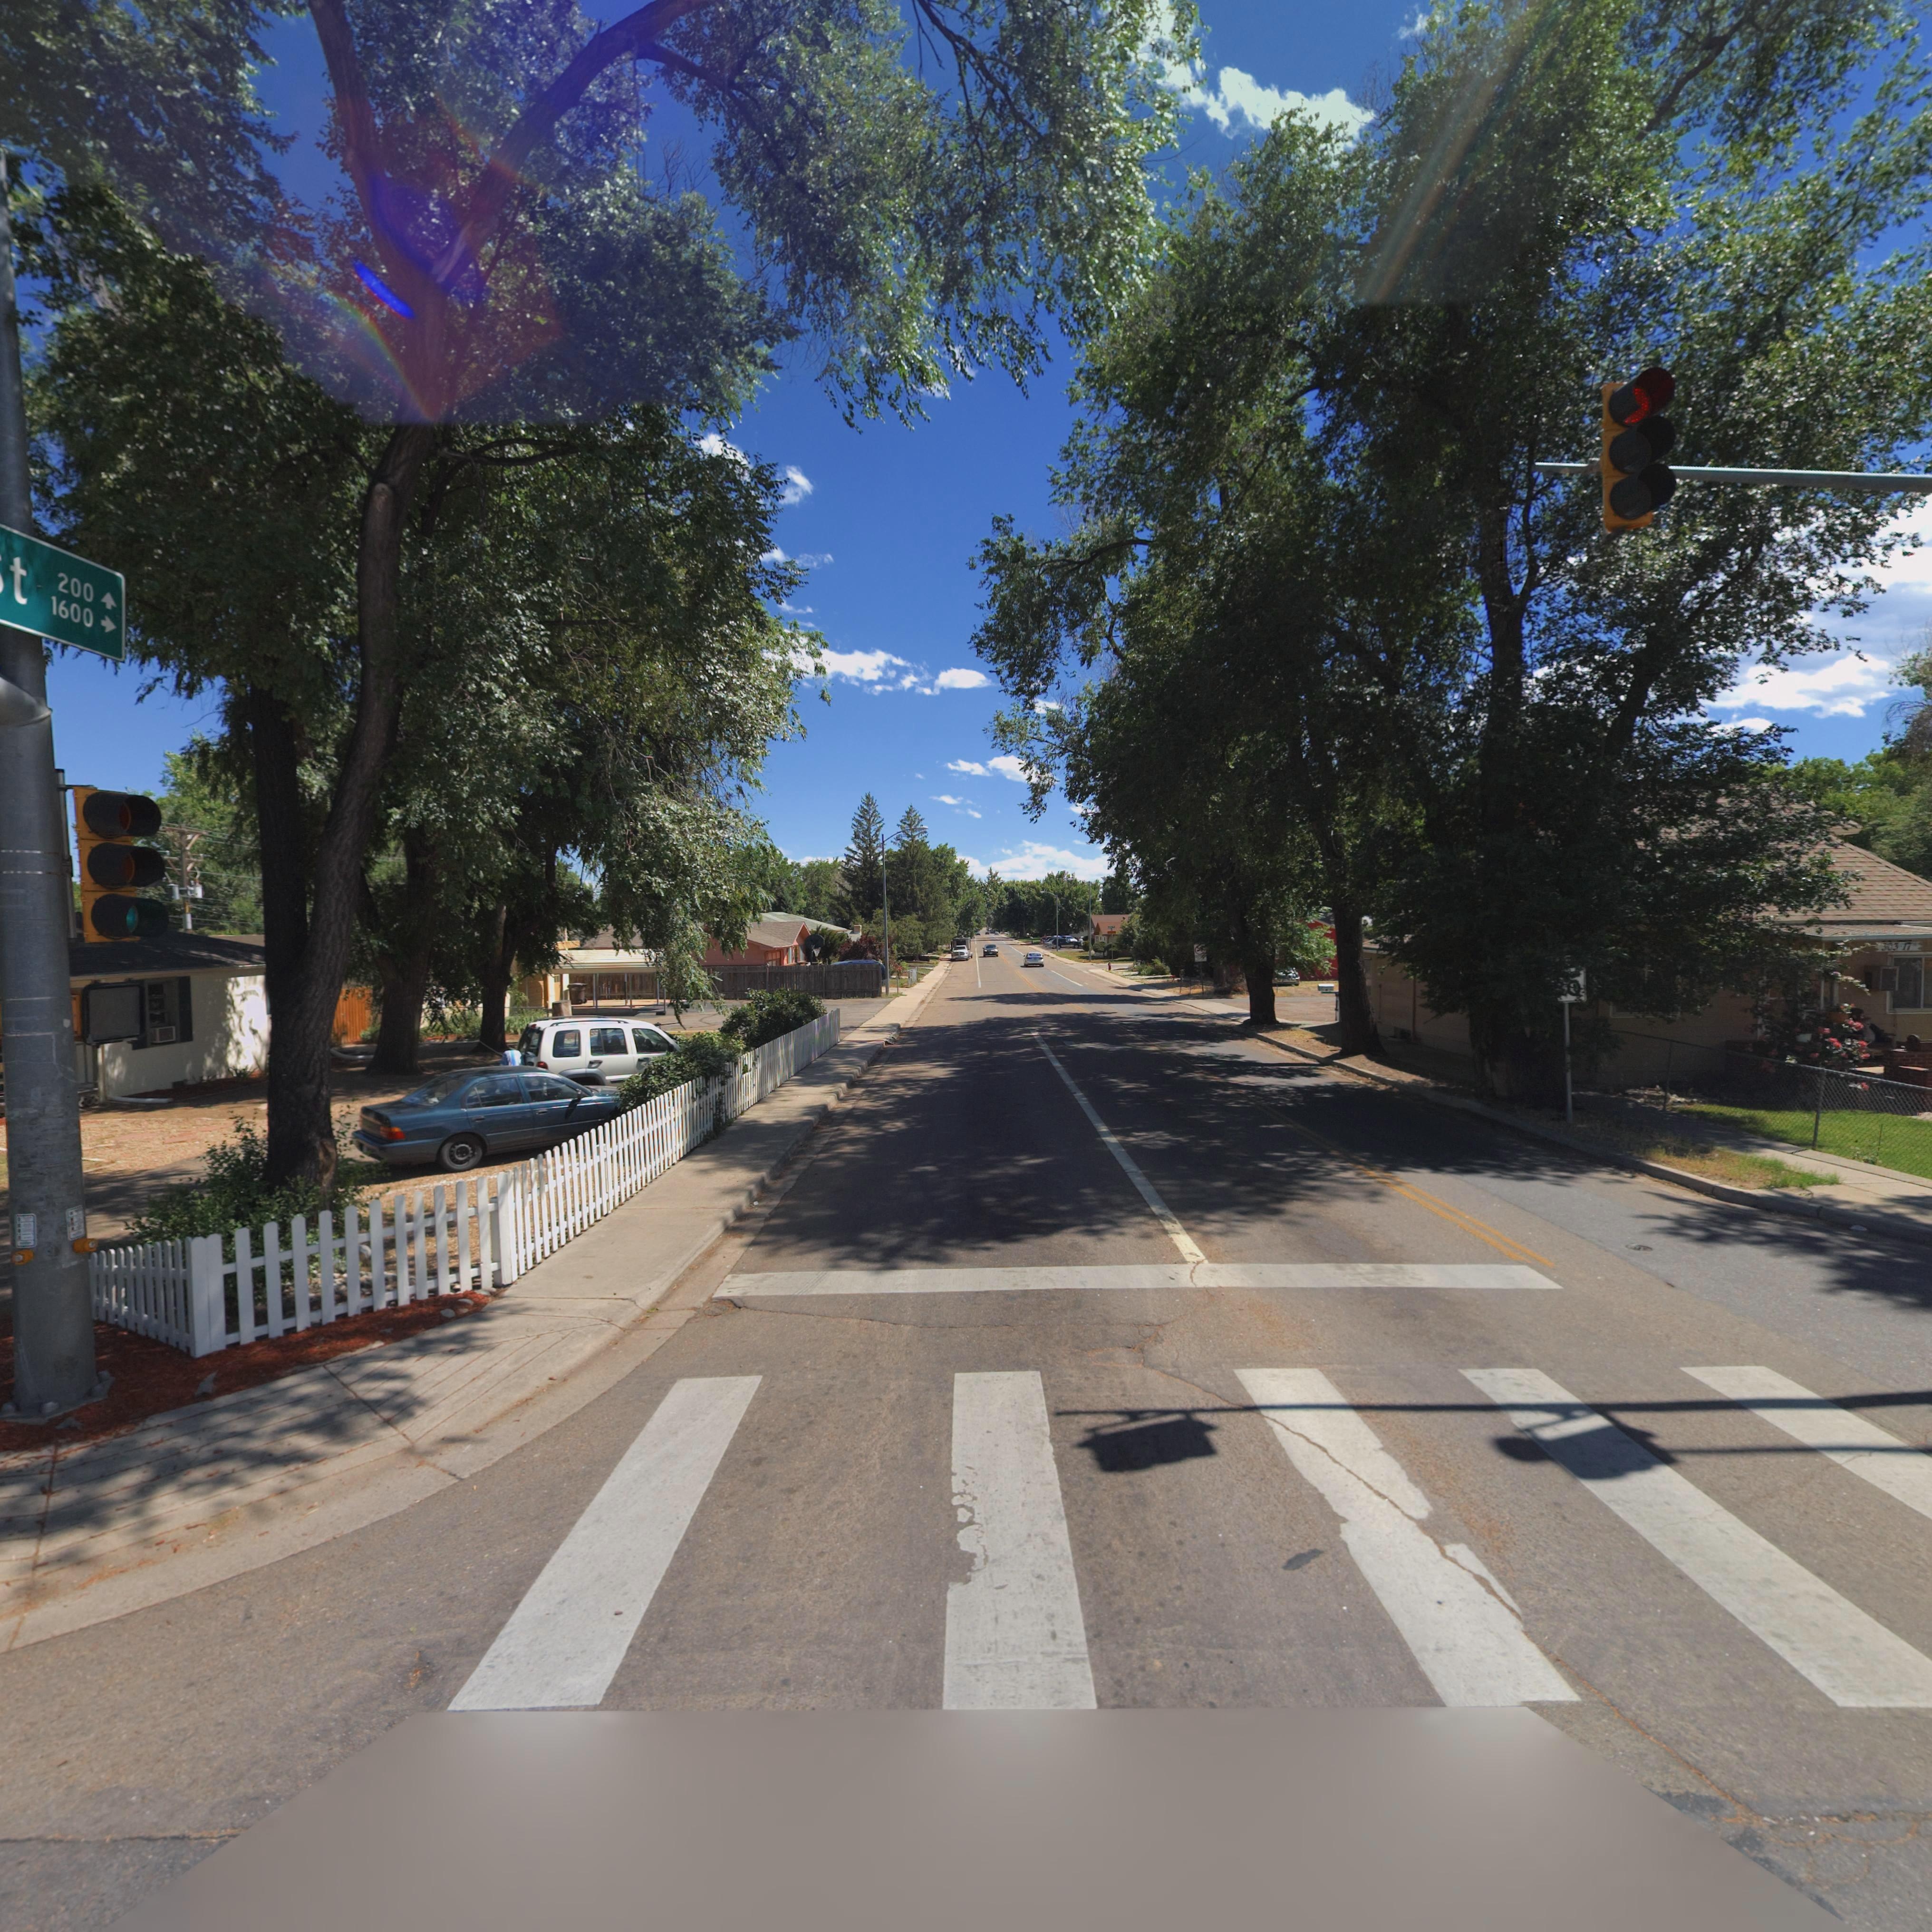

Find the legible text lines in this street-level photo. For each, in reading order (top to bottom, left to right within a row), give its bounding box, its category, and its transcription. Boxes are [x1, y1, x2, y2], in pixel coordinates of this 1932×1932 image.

[58, 571, 93, 603] StreetNumberRange: 200
[50, 595, 117, 635] StreetNumberRange: 1600->
[1881, 942, 1898, 950] StreetNumber: 303
[1901, 941, 1917, 950] StreetName: 17**